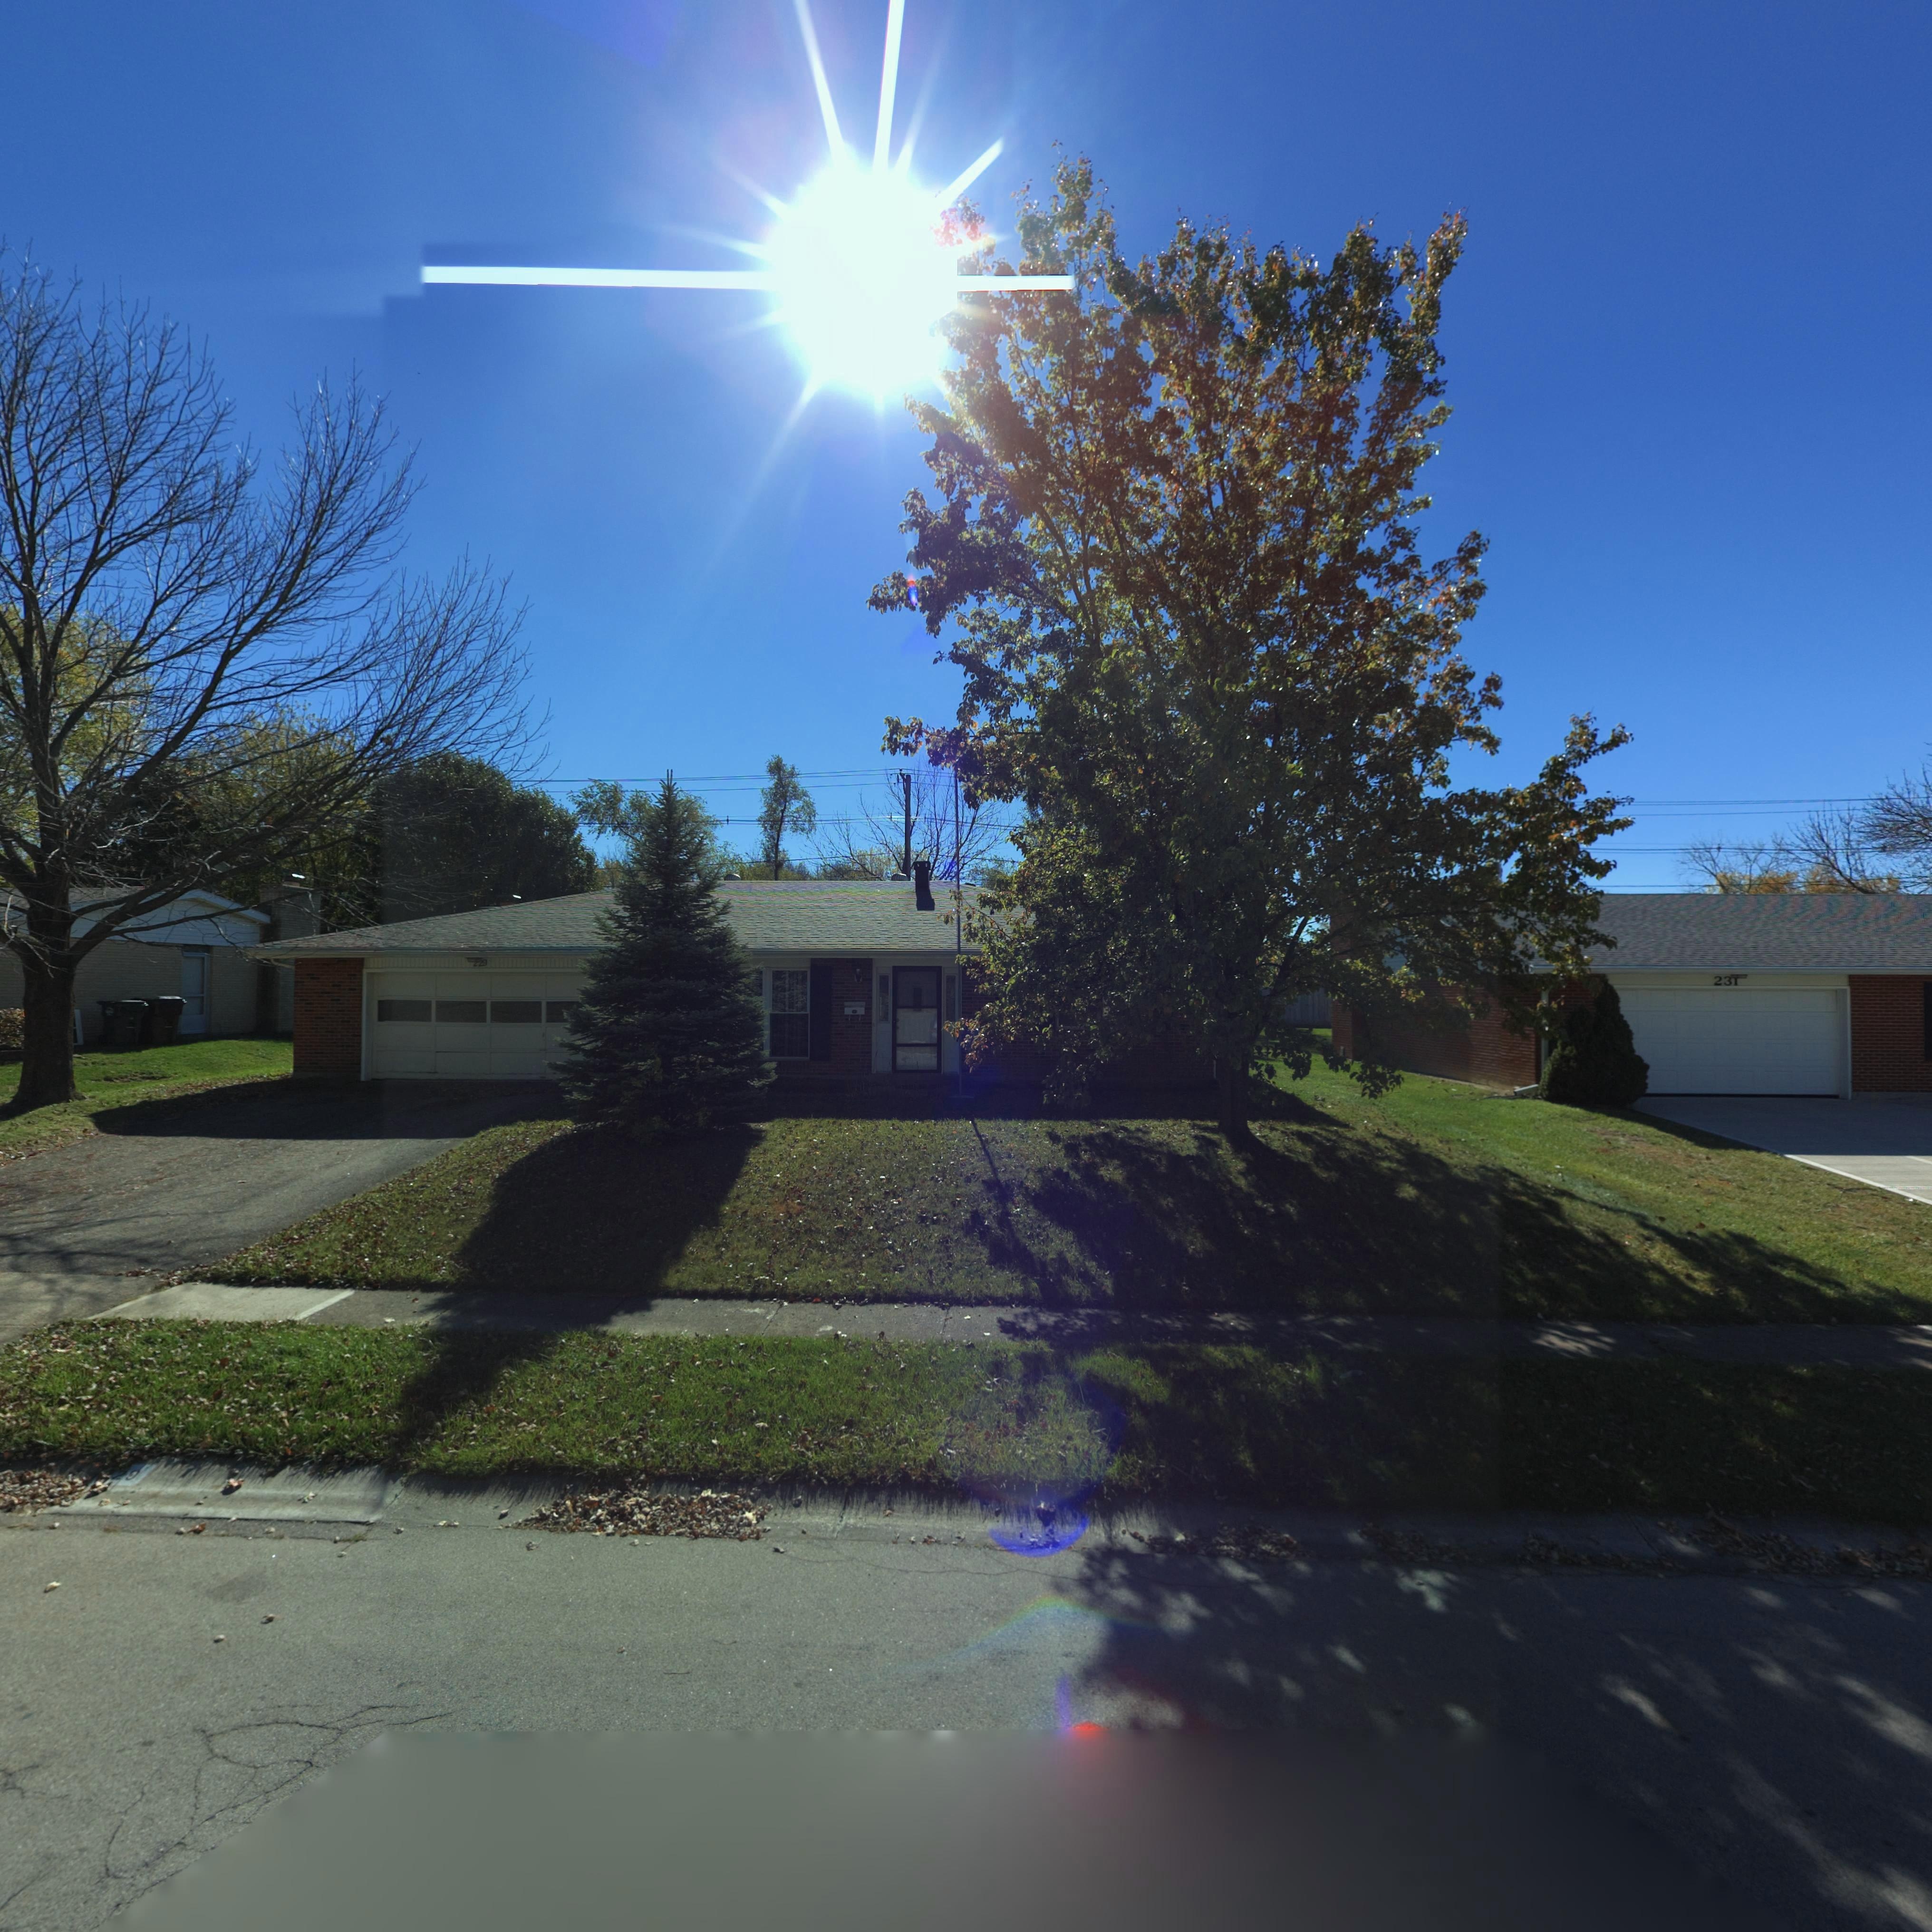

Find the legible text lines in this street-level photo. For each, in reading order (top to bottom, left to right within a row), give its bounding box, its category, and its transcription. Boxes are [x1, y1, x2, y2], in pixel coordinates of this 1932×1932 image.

[473, 958, 488, 966] StreetNumber: *29
[1713, 975, 1739, 985] StreetNumber: 231